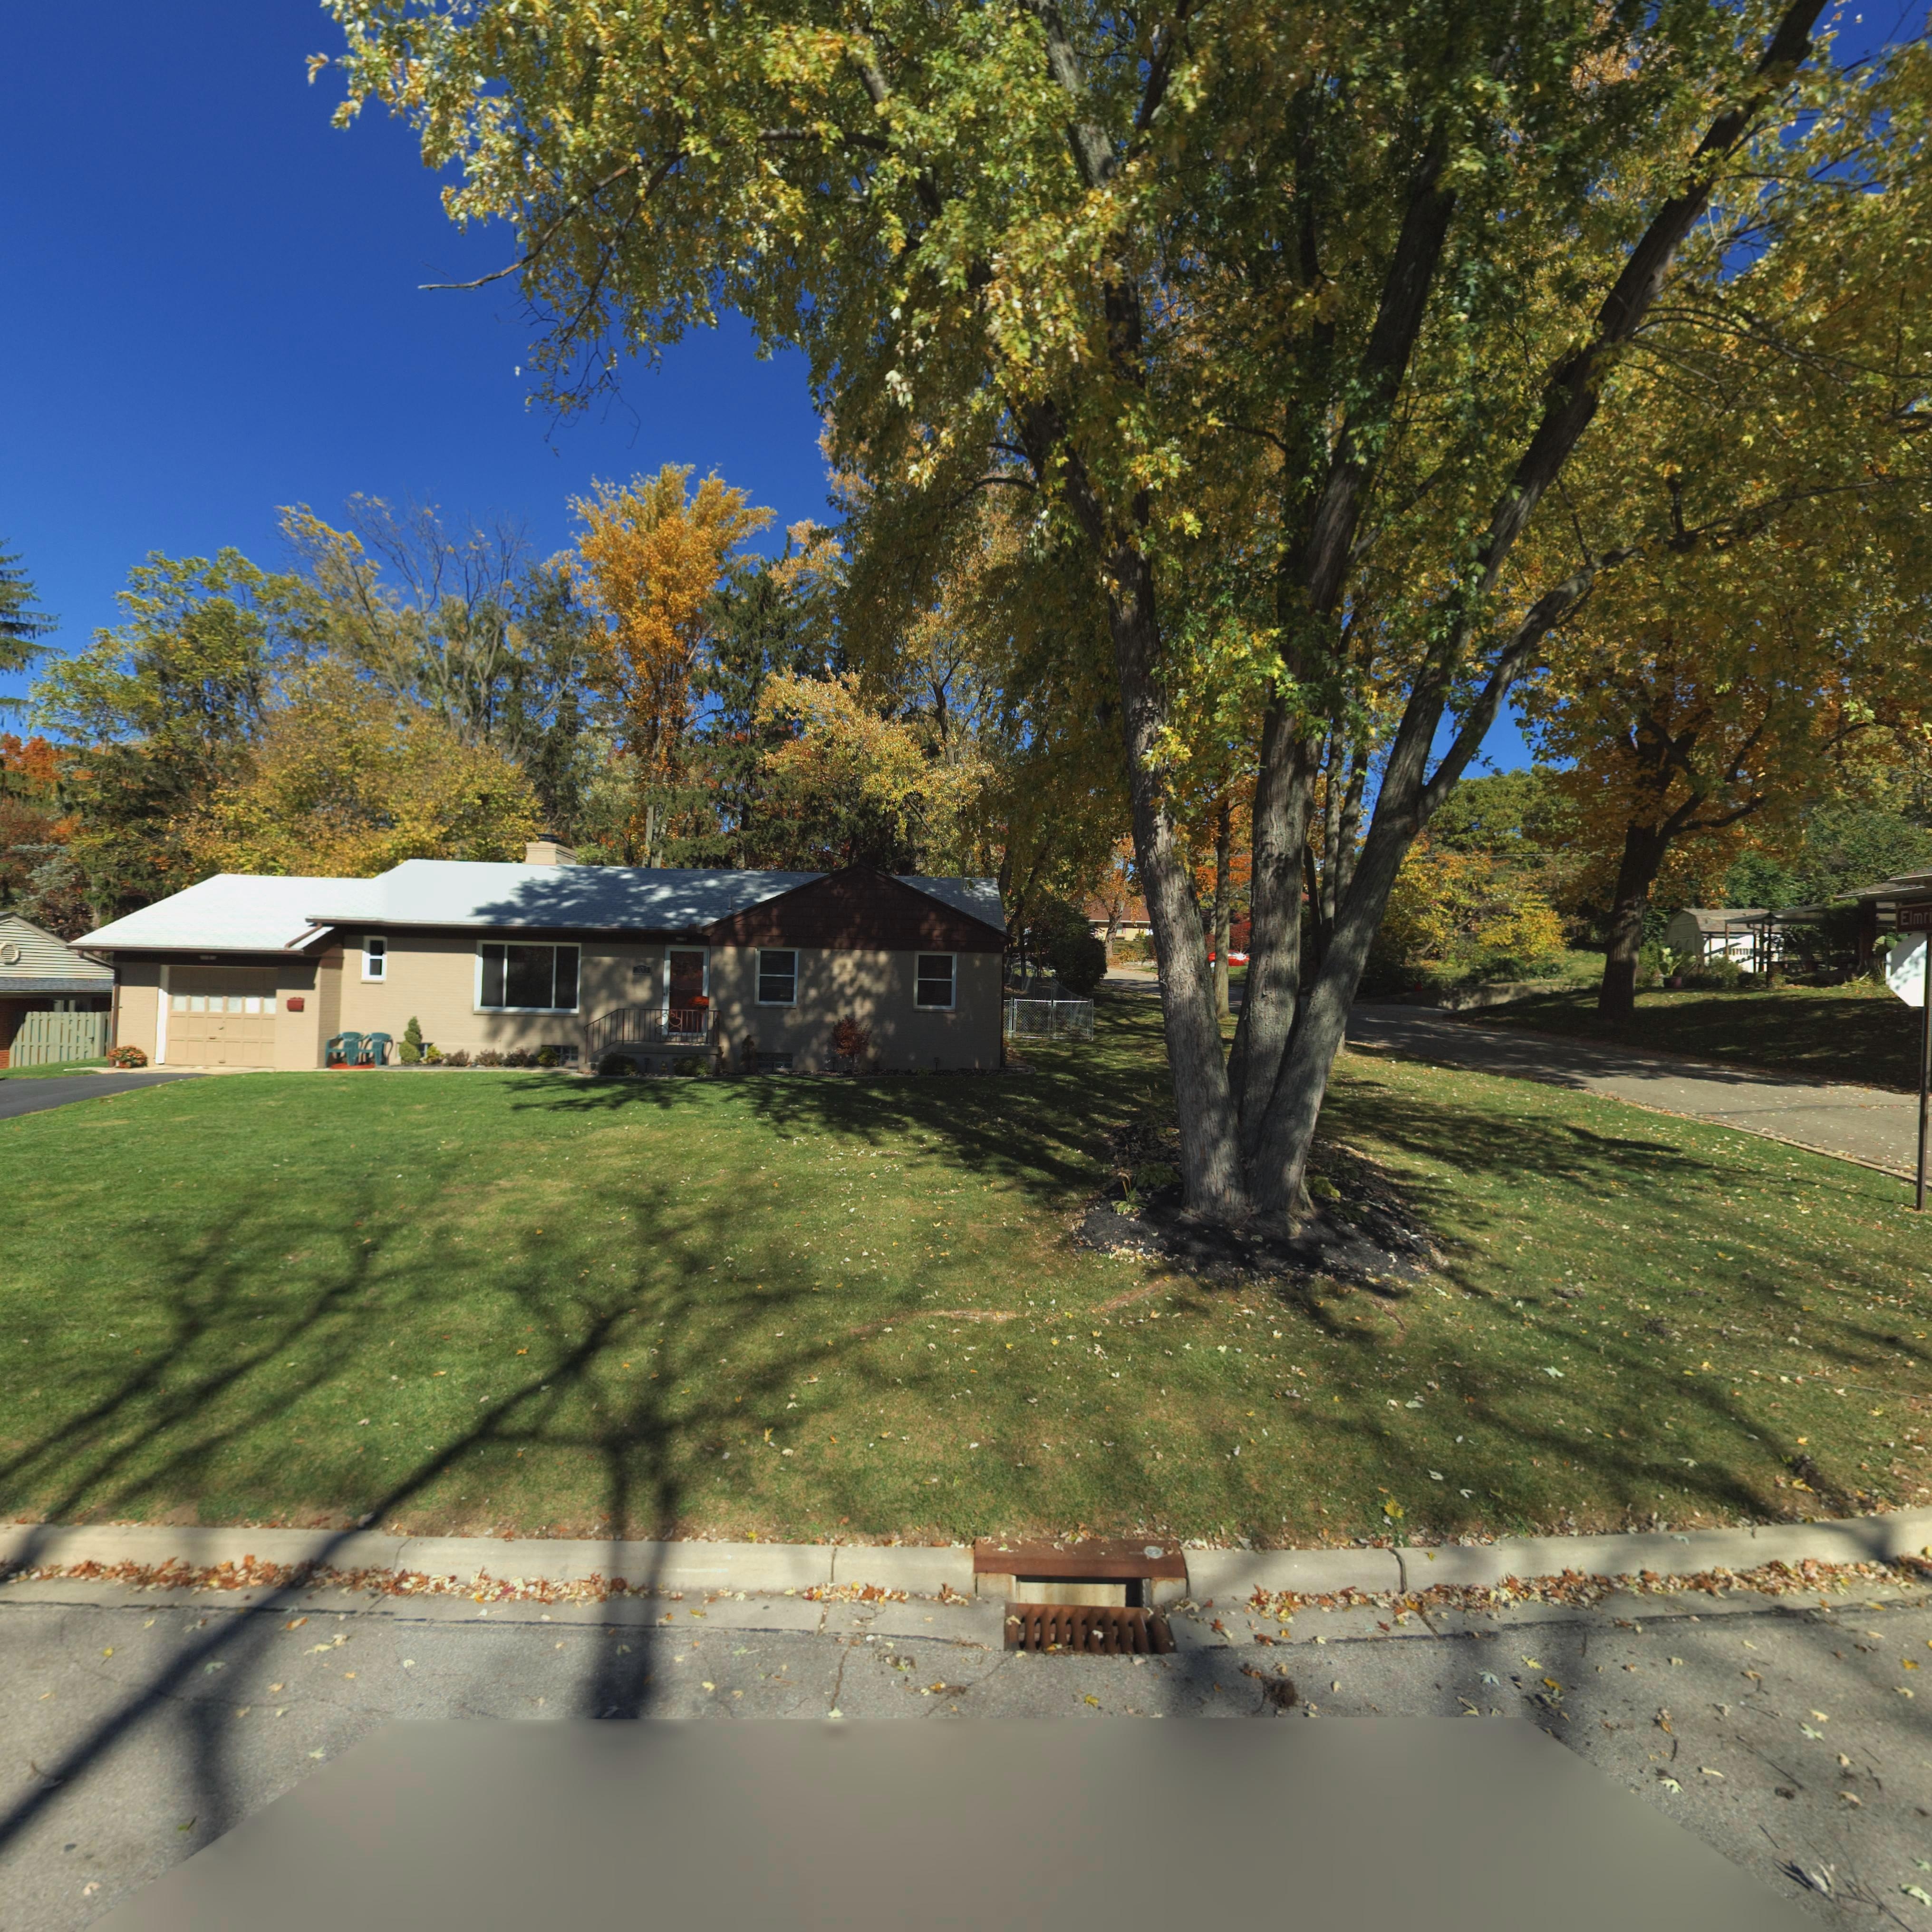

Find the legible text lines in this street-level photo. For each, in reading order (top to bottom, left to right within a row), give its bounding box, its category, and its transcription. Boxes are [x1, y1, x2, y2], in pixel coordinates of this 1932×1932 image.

[634, 966, 648, 974] StreetNumber: 203